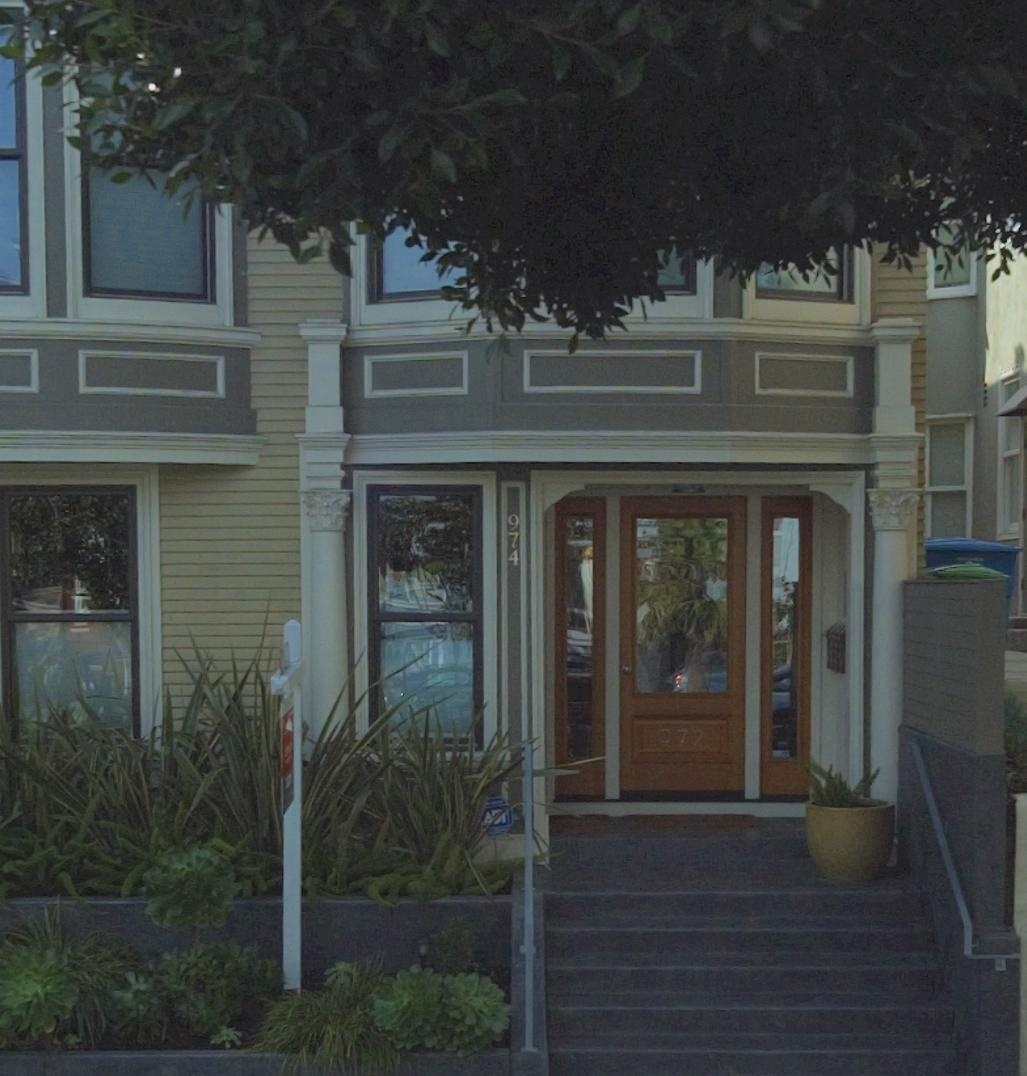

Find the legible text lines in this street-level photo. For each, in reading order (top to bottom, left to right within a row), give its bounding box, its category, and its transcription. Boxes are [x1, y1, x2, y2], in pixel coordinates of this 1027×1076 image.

[507, 513, 521, 566] StreetNumber: 974
[657, 728, 705, 748] StreetNumber: 972